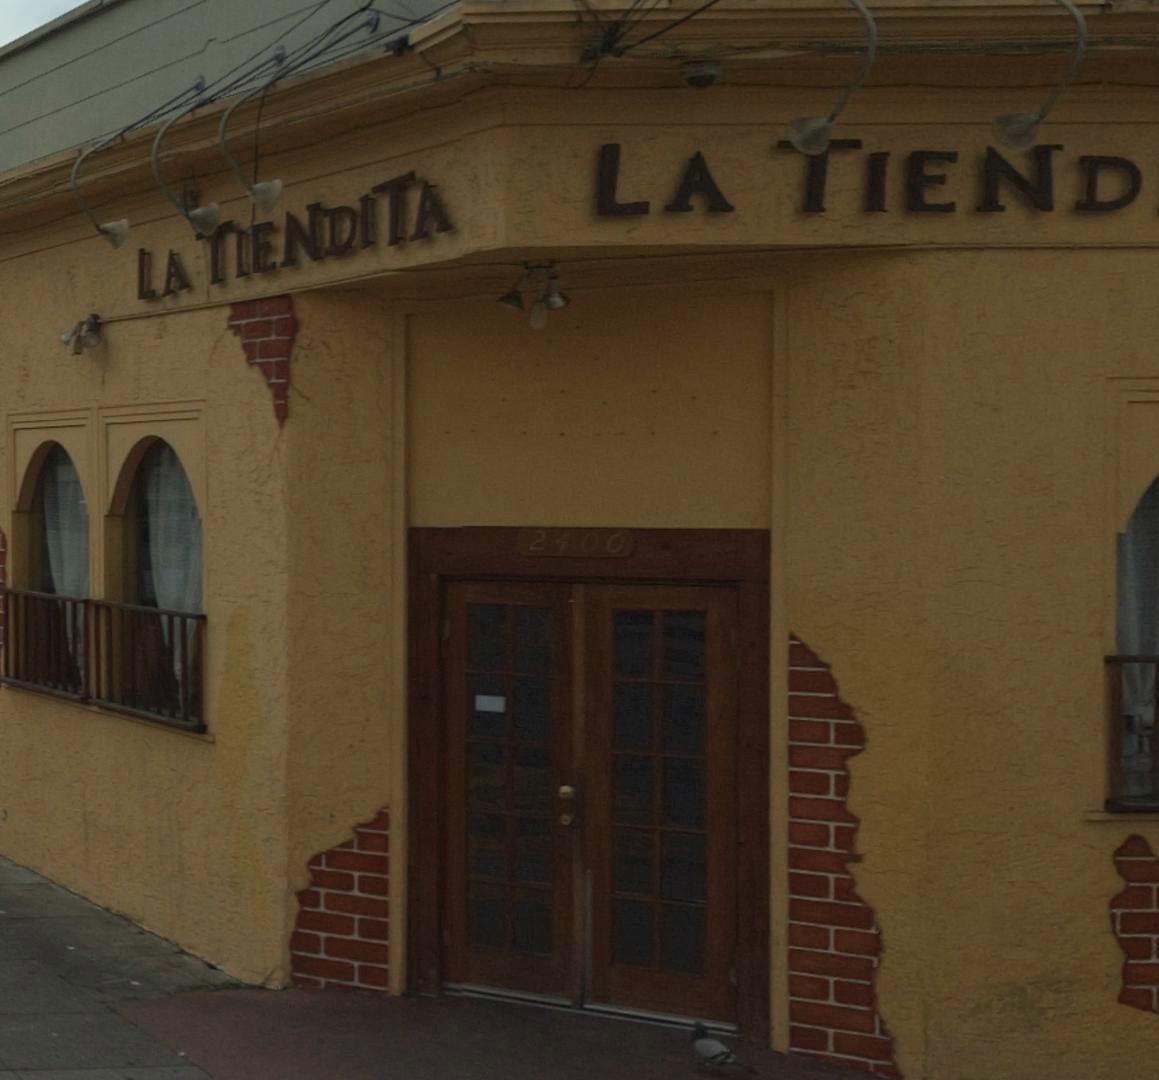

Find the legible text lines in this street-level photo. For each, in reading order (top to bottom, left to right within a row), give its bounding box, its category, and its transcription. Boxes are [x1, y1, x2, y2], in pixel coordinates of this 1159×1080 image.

[592, 135, 1146, 221] BusinessName: LA TIEND
[134, 167, 459, 305] BusinessName: LA TIENDITA
[524, 527, 628, 556] StreetNumber: 2400